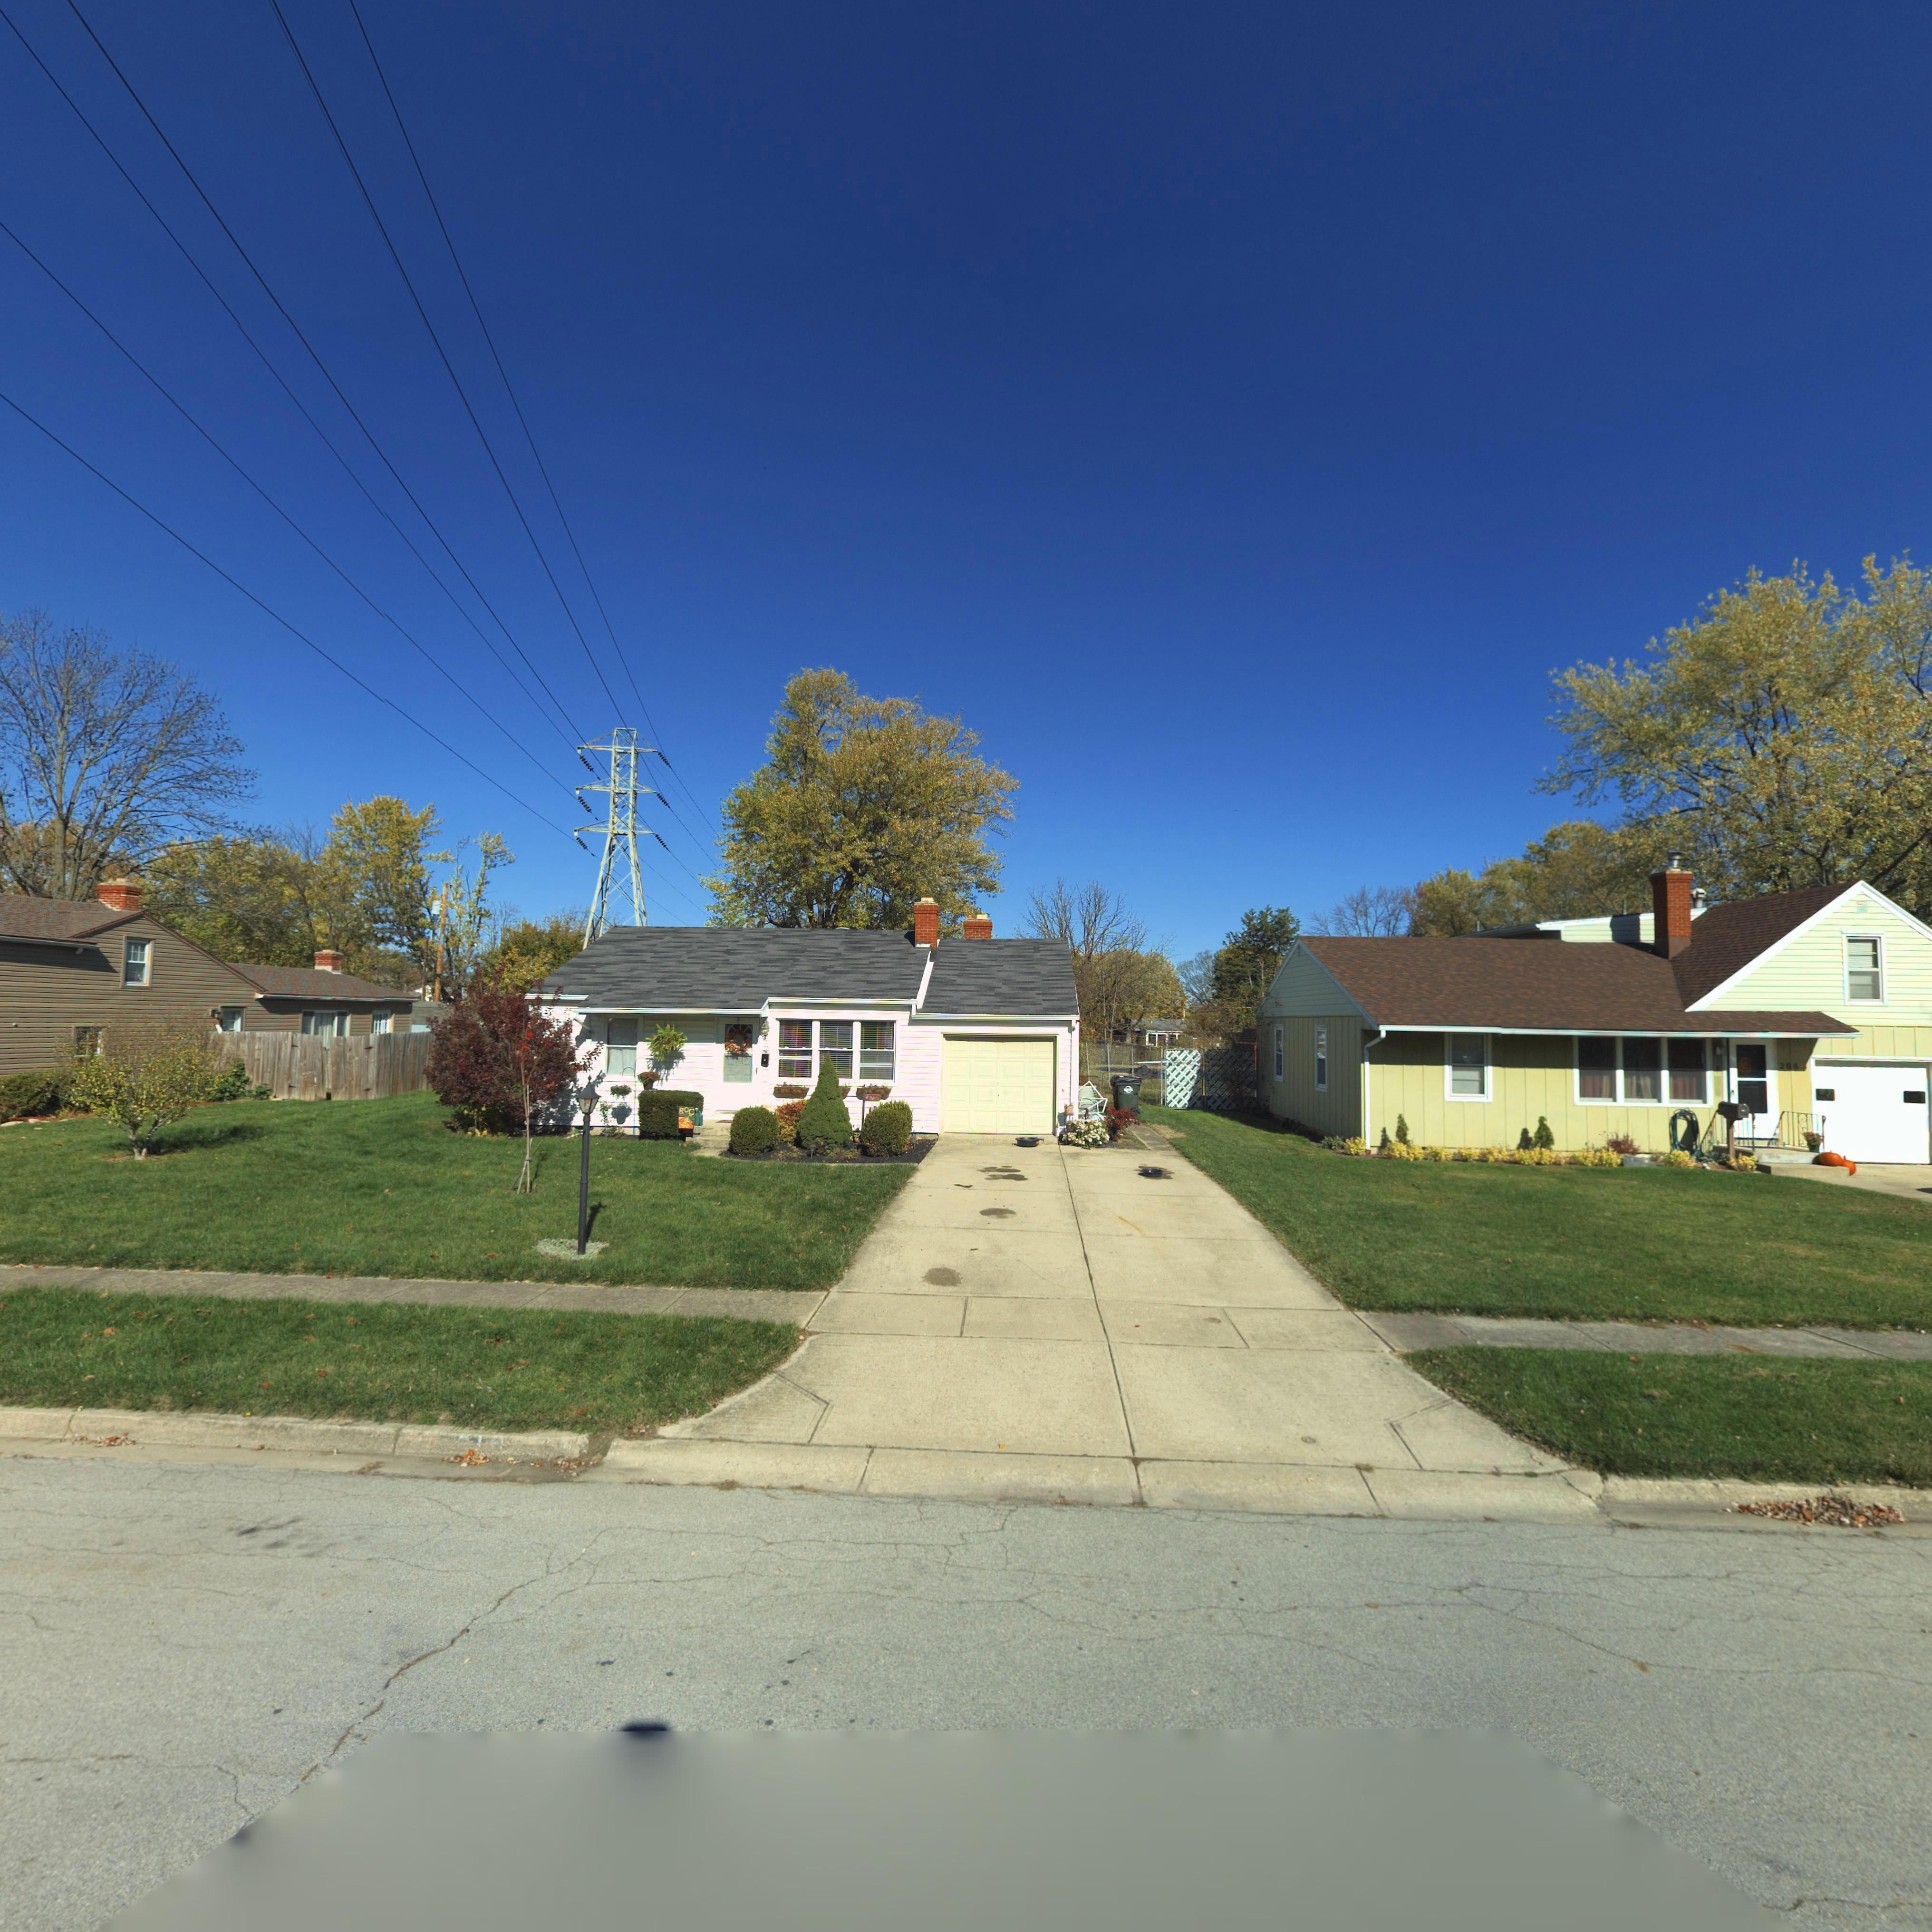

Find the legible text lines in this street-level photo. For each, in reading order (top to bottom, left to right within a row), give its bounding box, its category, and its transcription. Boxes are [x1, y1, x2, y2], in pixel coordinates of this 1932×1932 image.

[1779, 1062, 1800, 1071] StreetNumber: 20*